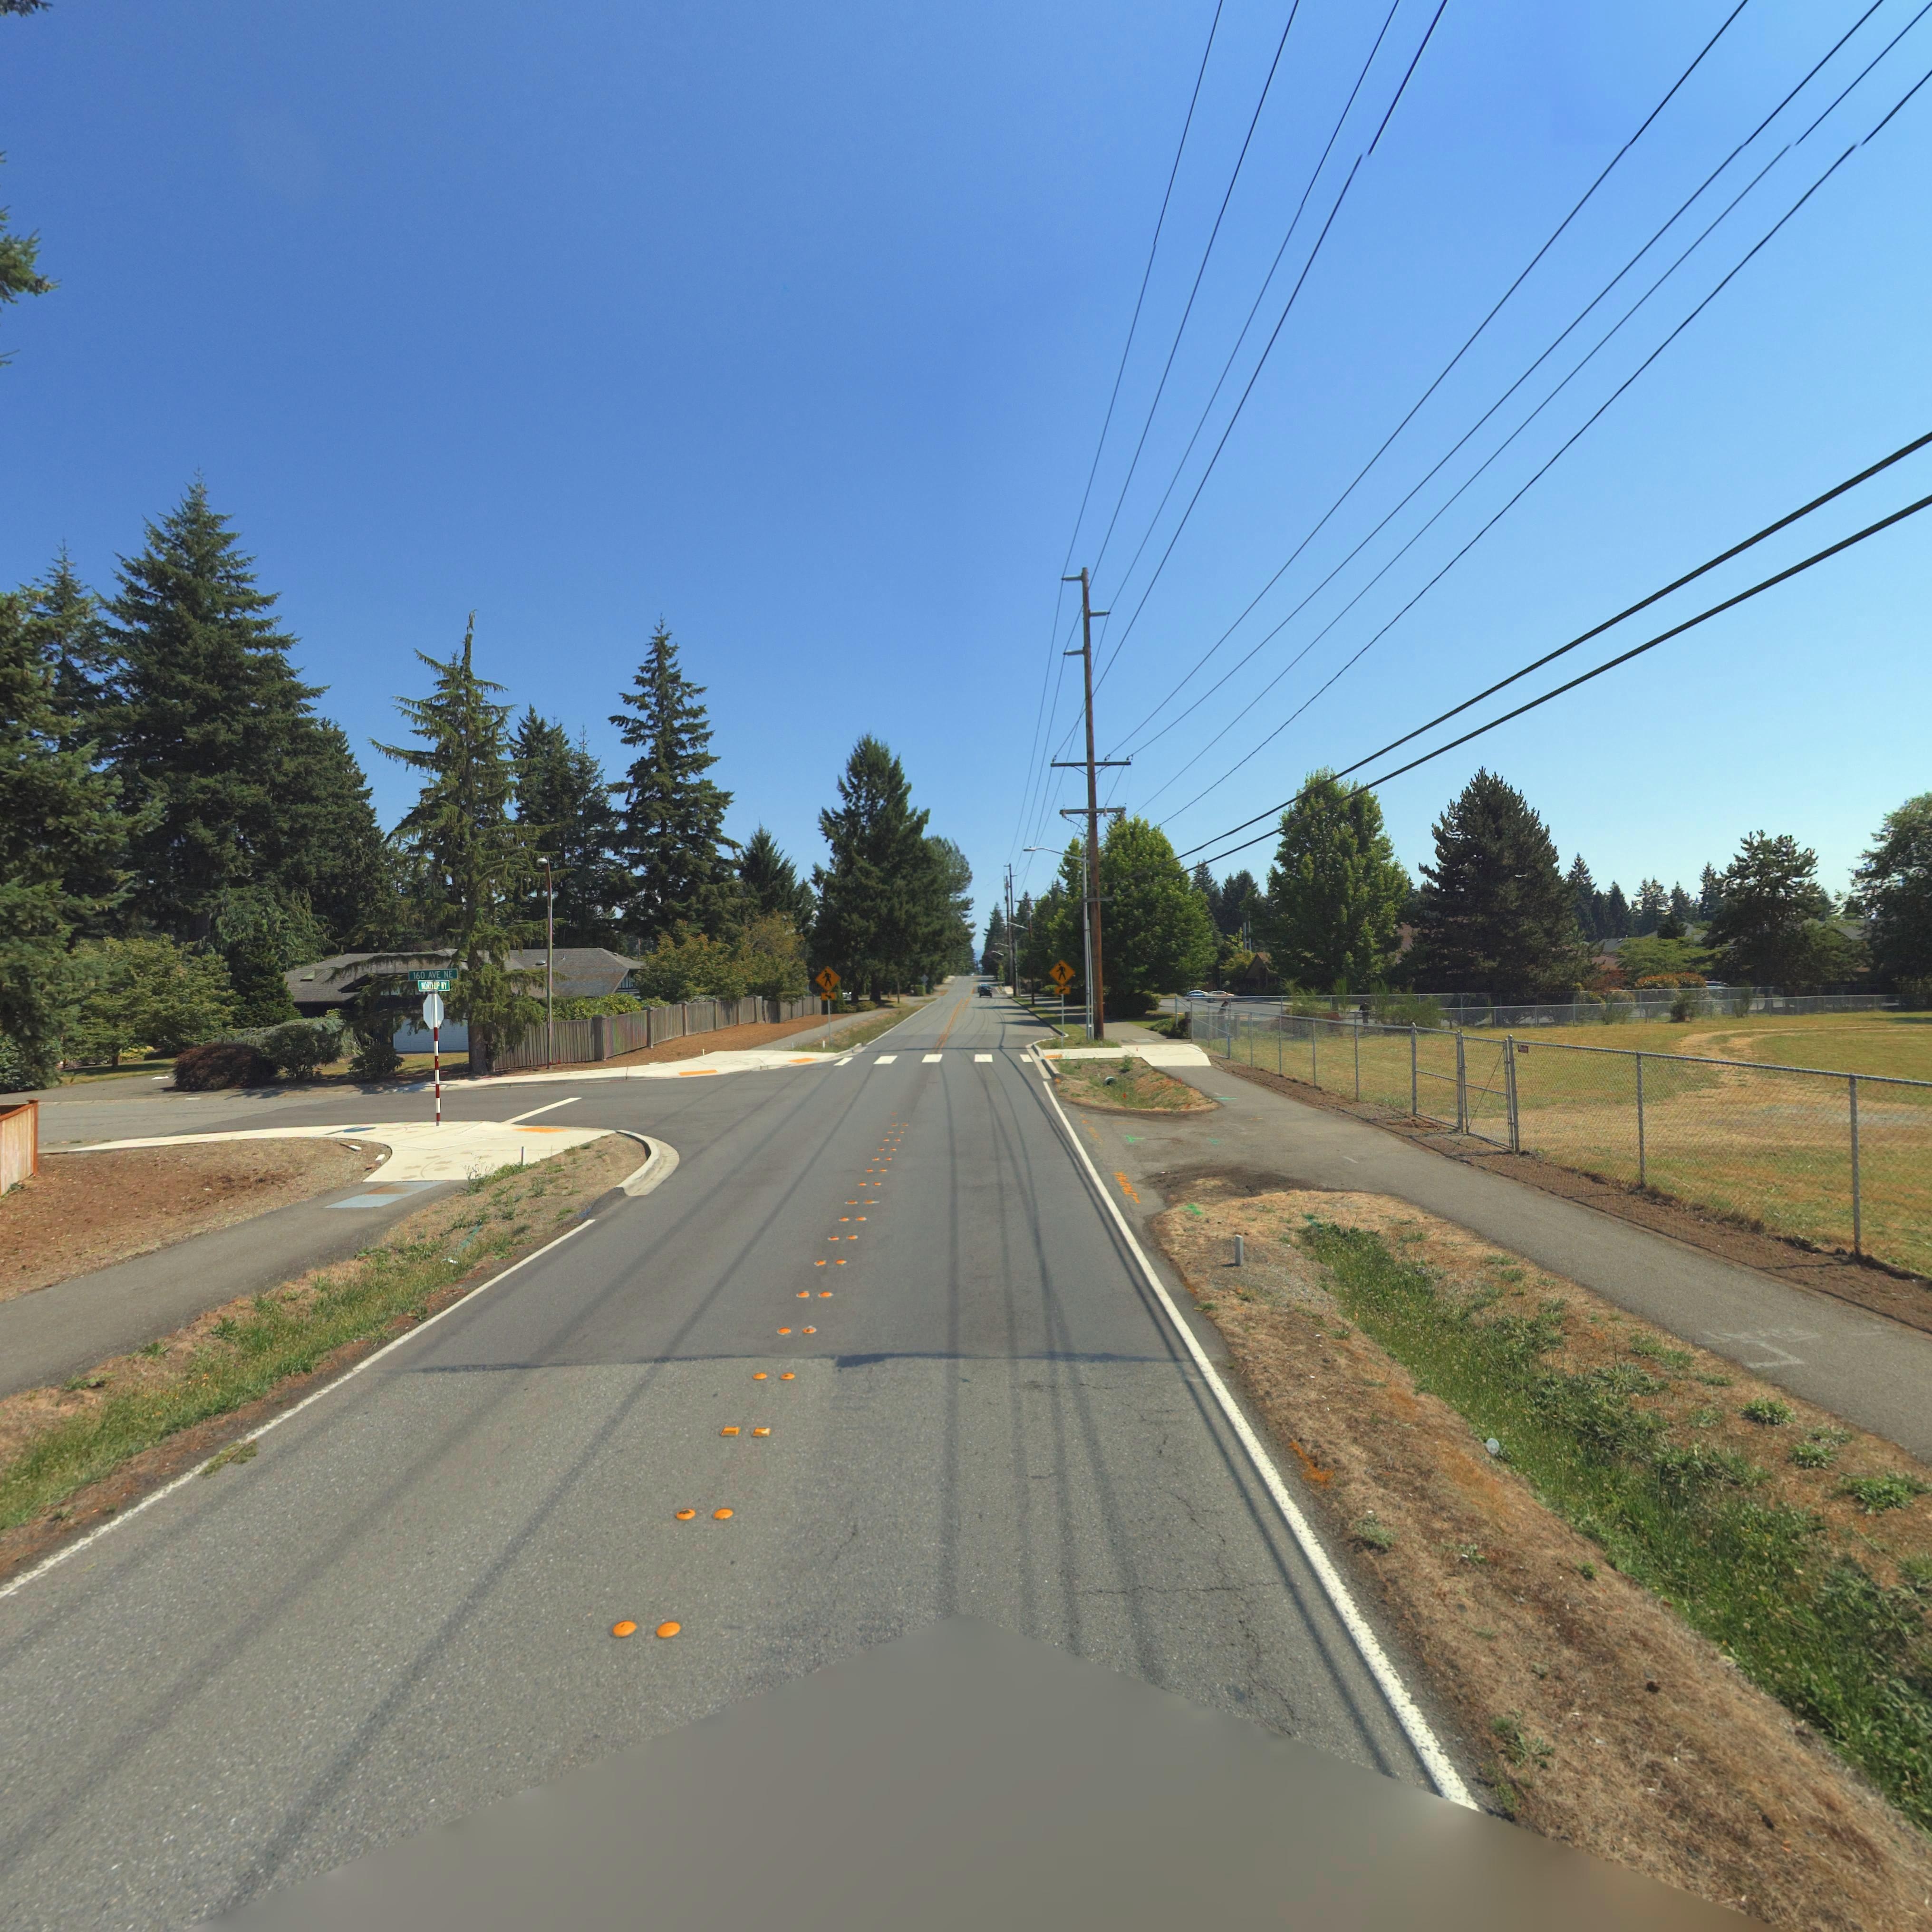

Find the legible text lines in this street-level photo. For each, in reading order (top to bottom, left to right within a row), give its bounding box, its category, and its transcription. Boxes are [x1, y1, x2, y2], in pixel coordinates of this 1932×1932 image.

[413, 970, 454, 979] StreetName: 160 AVE NE
[420, 982, 447, 989] StreetName: NORTHUP WY